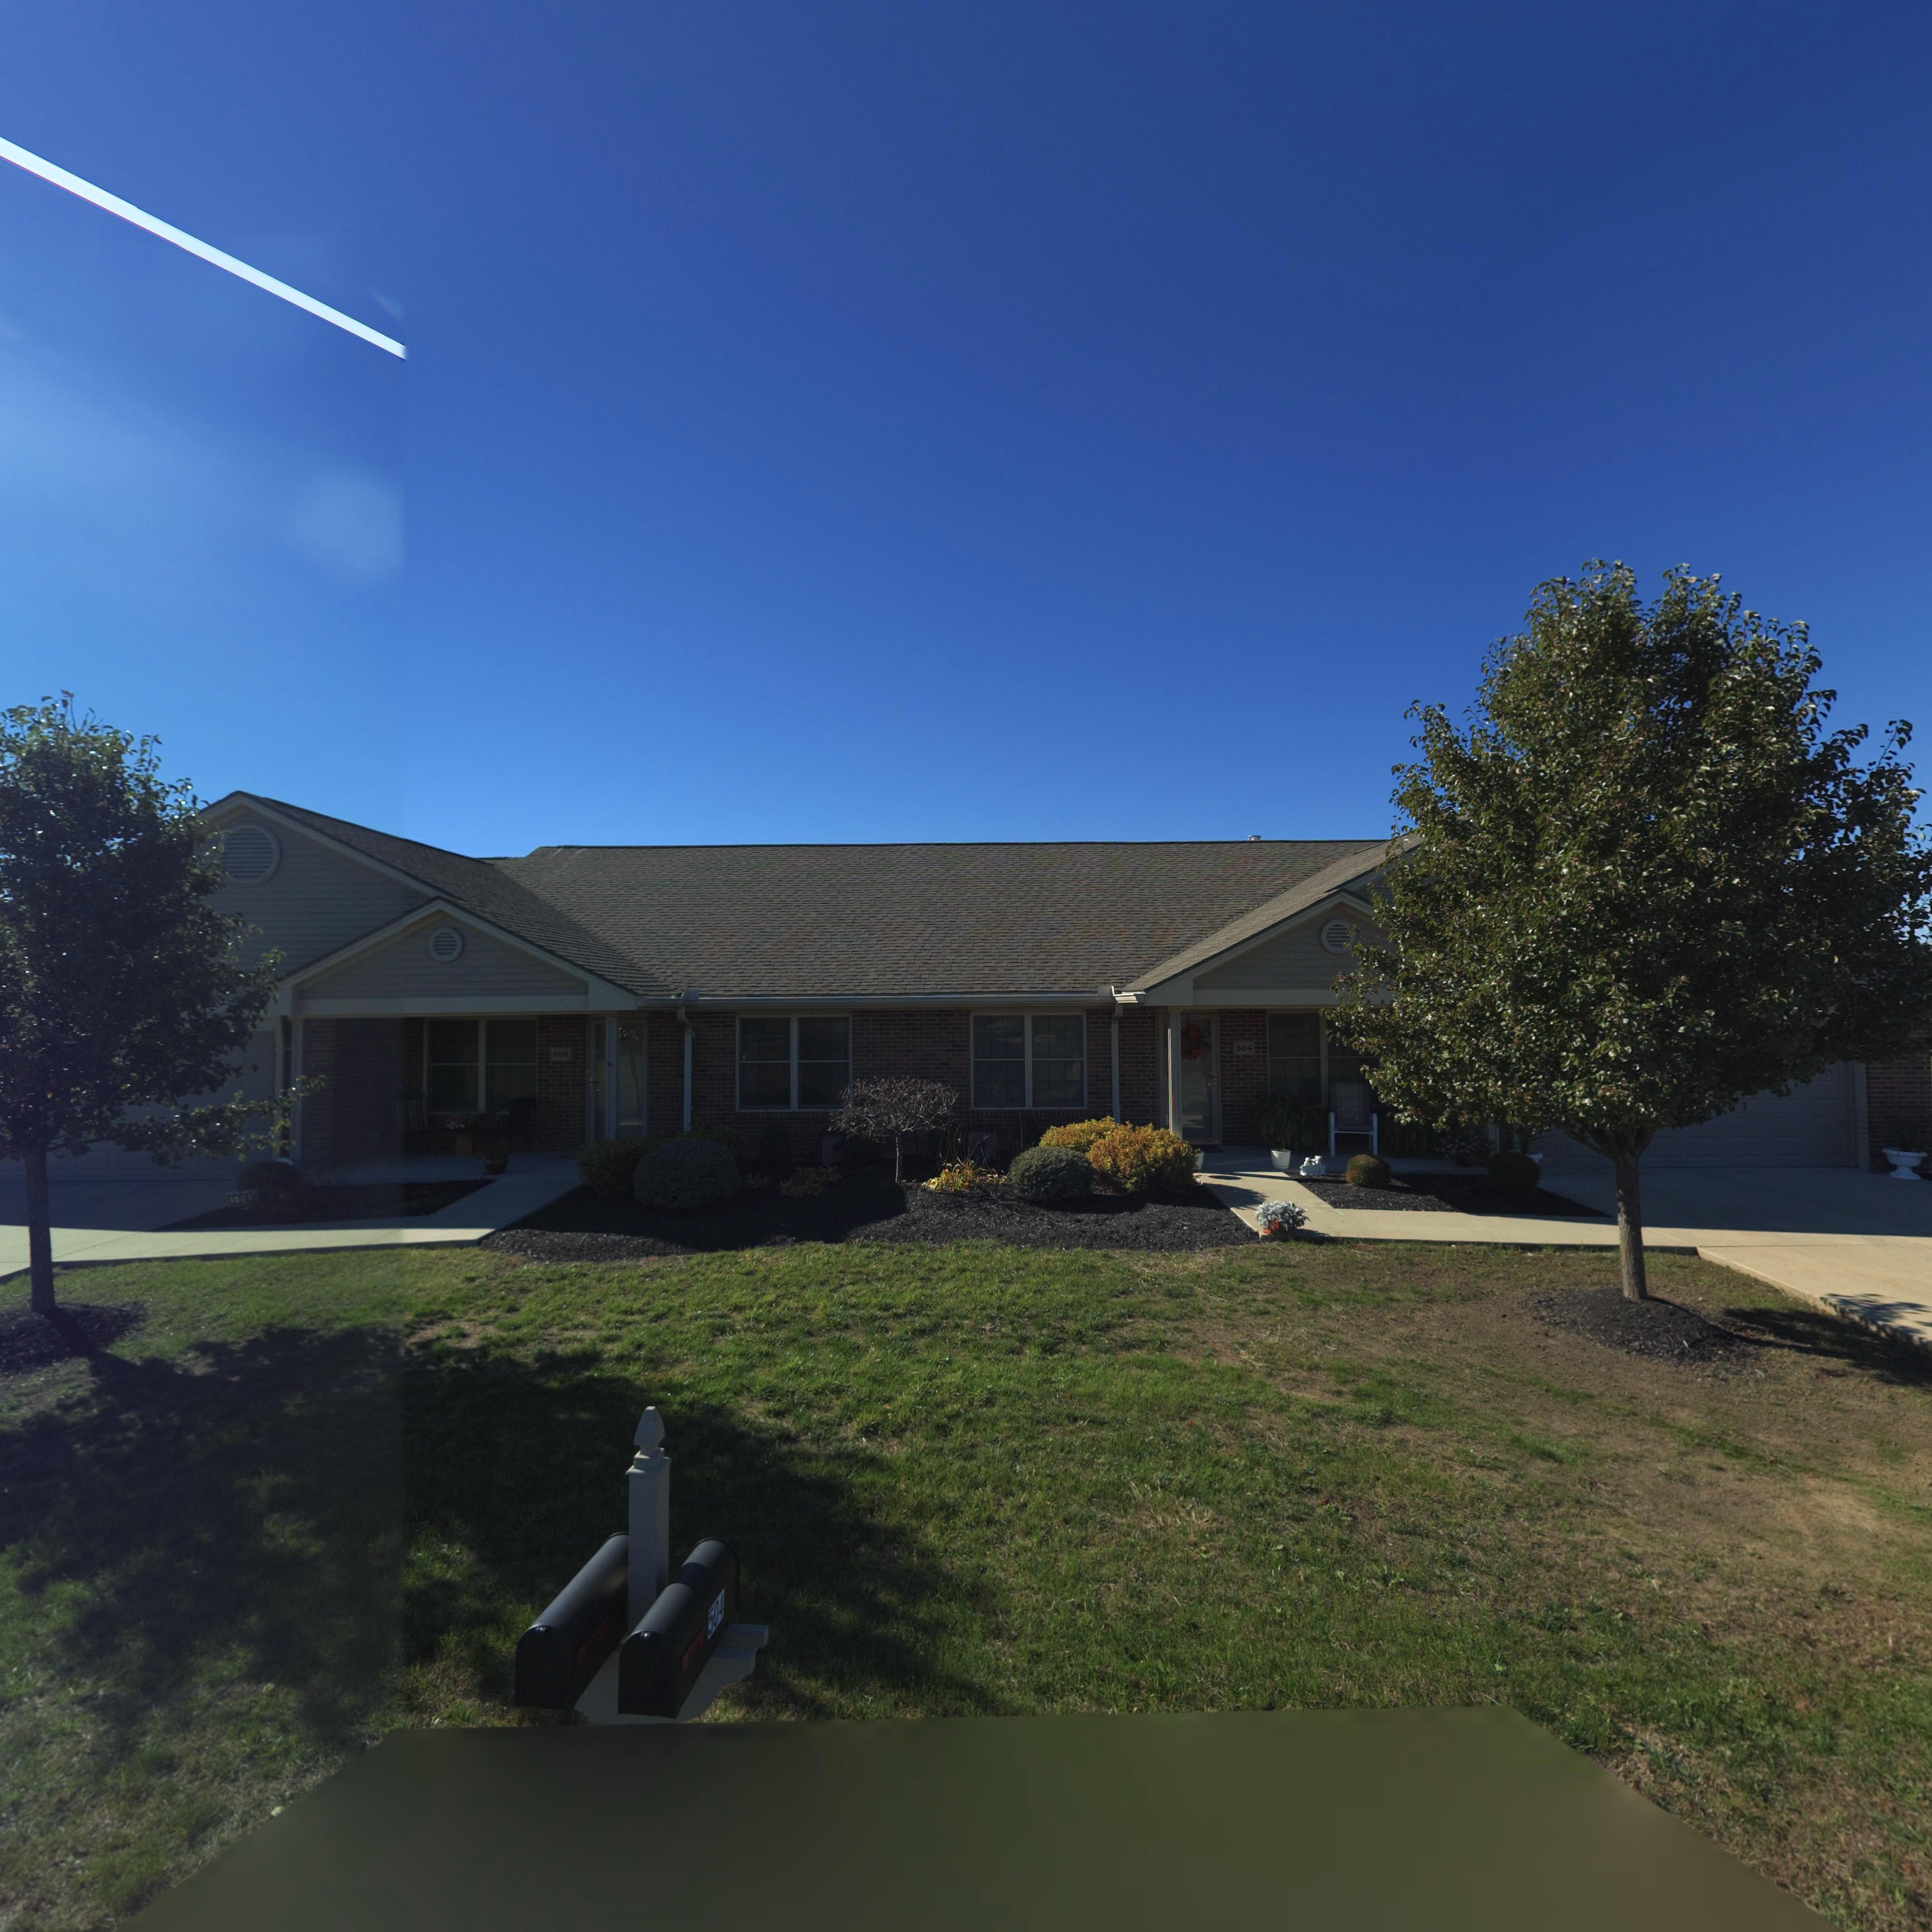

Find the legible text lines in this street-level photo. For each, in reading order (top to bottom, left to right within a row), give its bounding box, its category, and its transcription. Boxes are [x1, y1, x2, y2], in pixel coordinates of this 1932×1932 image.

[1236, 1045, 1252, 1051] StreetNumber: 504
[552, 1051, 569, 1057] StreetNumber: 506
[231, 1194, 251, 1204] StreetNumber: 506
[707, 1588, 724, 1638] StreetNumber: 504